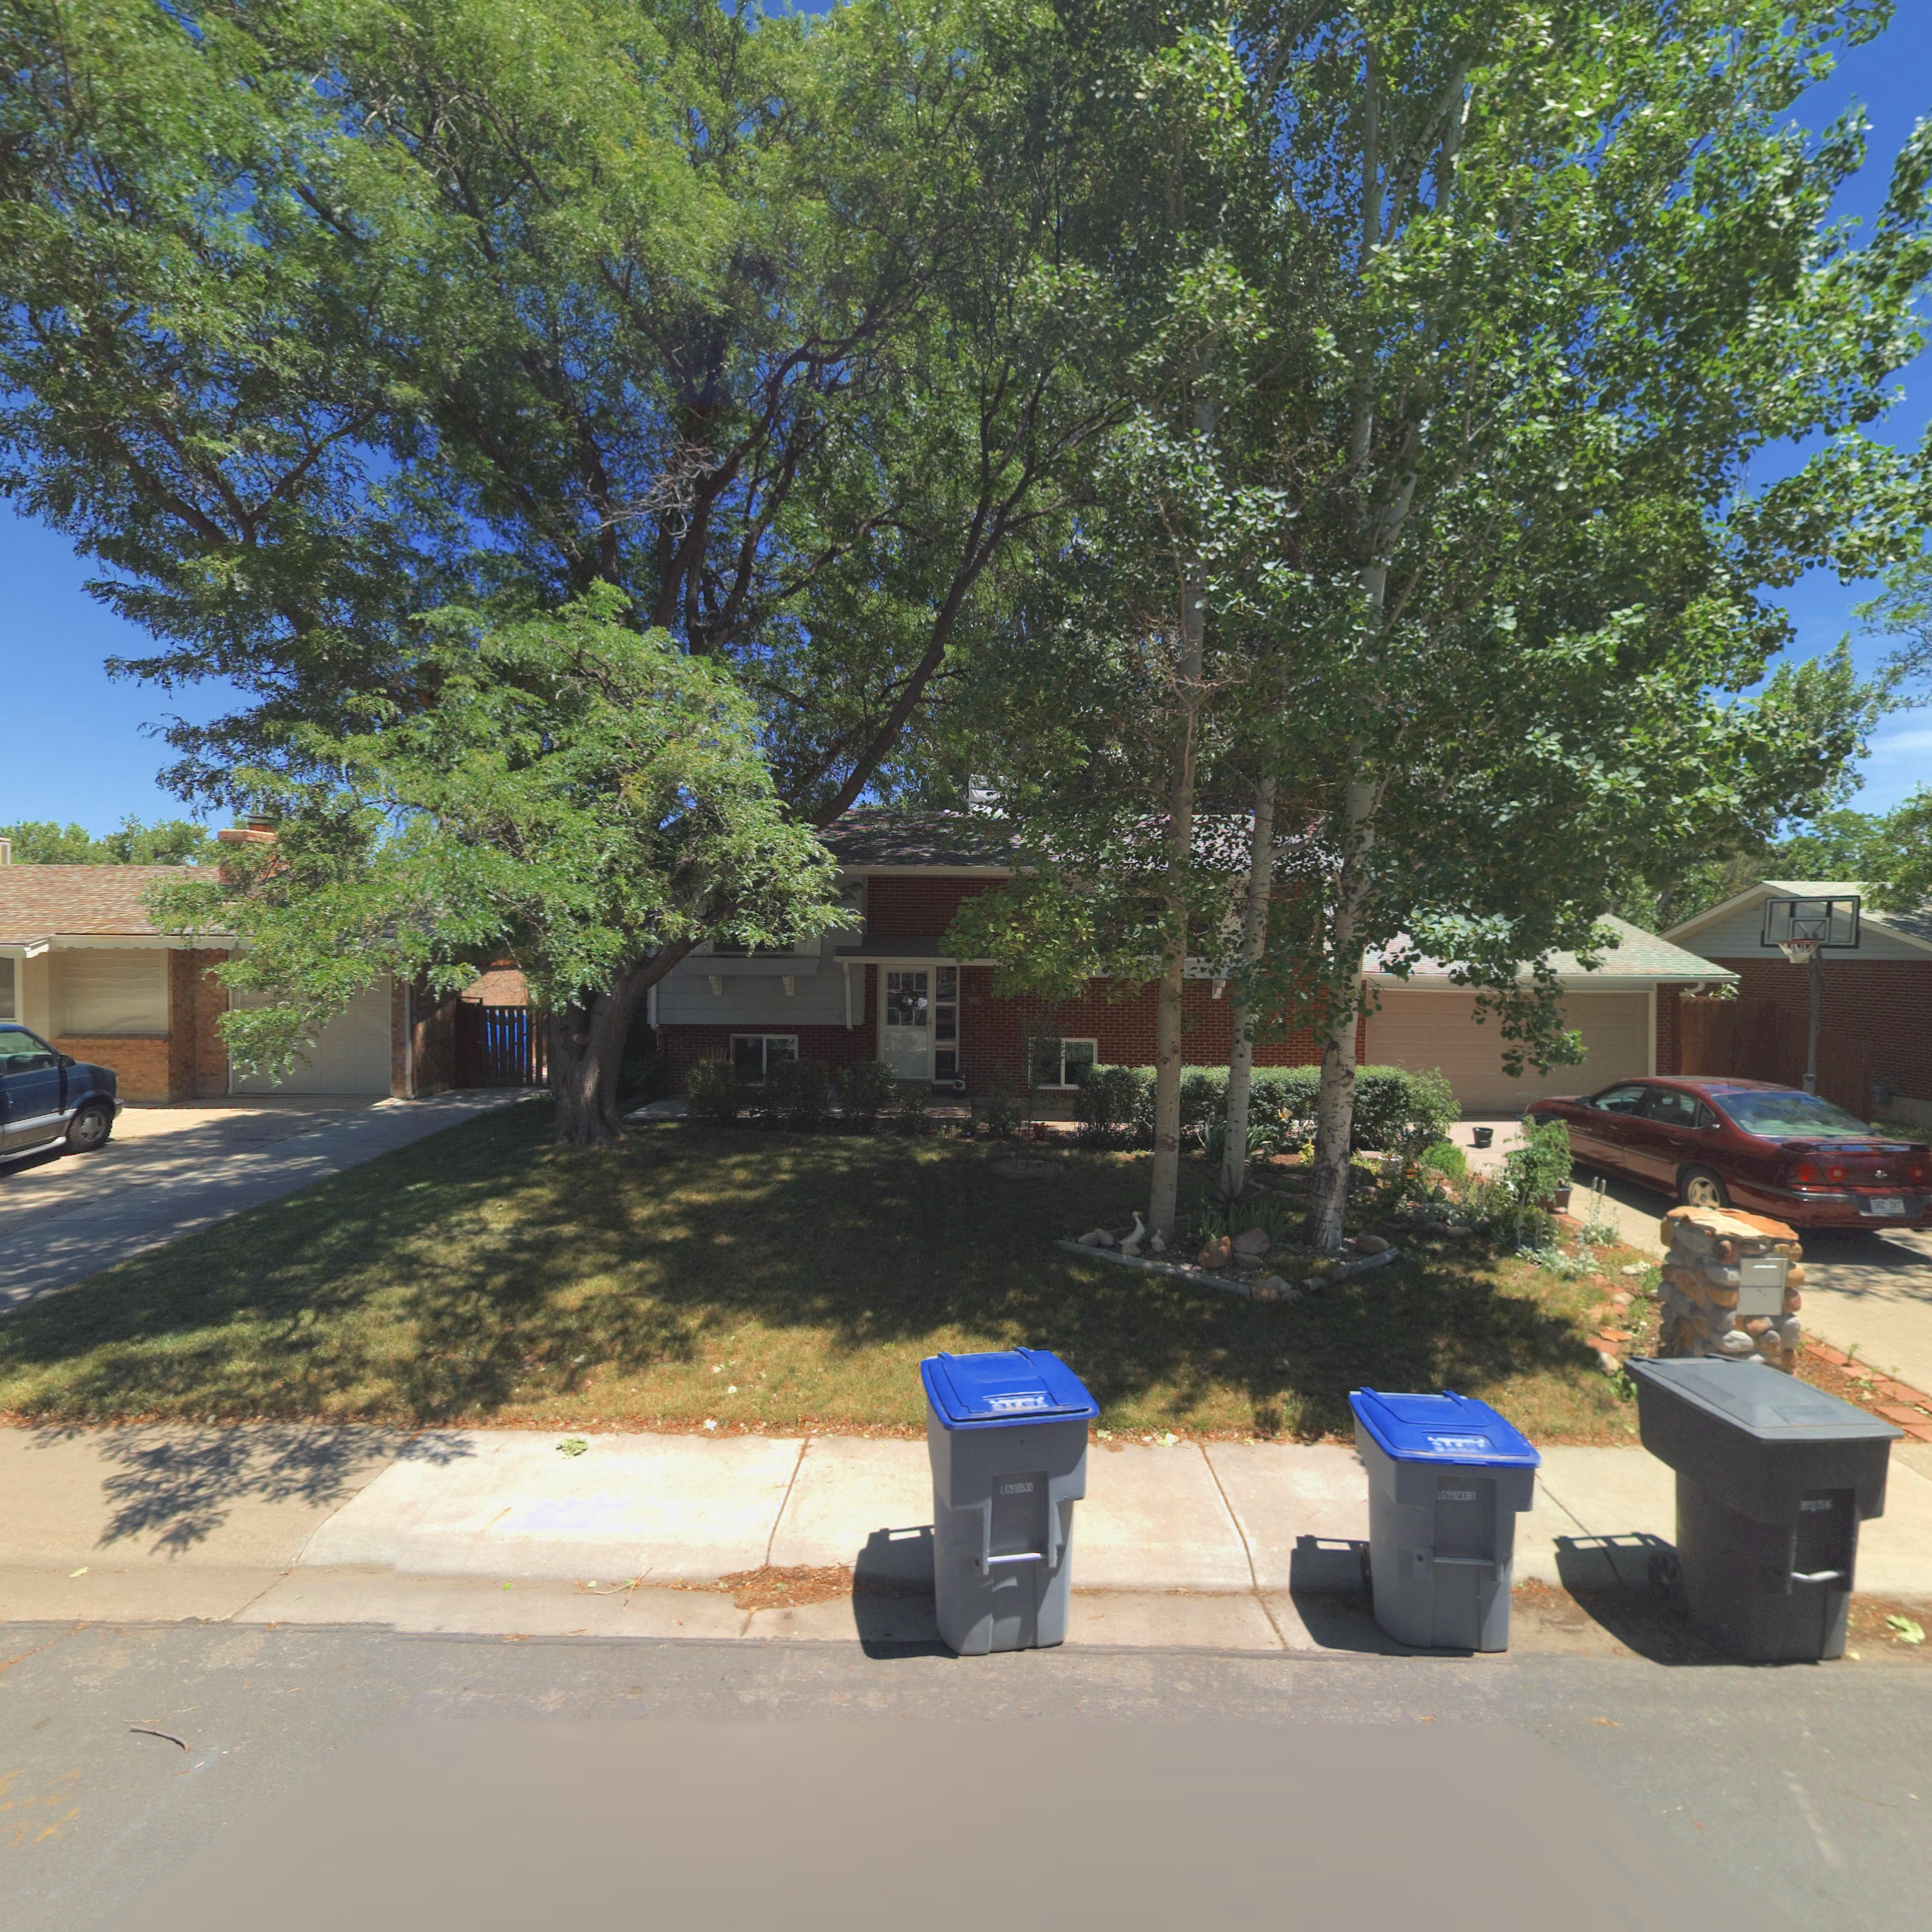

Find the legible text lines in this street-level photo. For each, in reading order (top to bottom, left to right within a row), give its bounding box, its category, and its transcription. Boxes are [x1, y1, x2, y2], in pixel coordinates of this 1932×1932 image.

[968, 996, 980, 1004] StreetNumber: 906